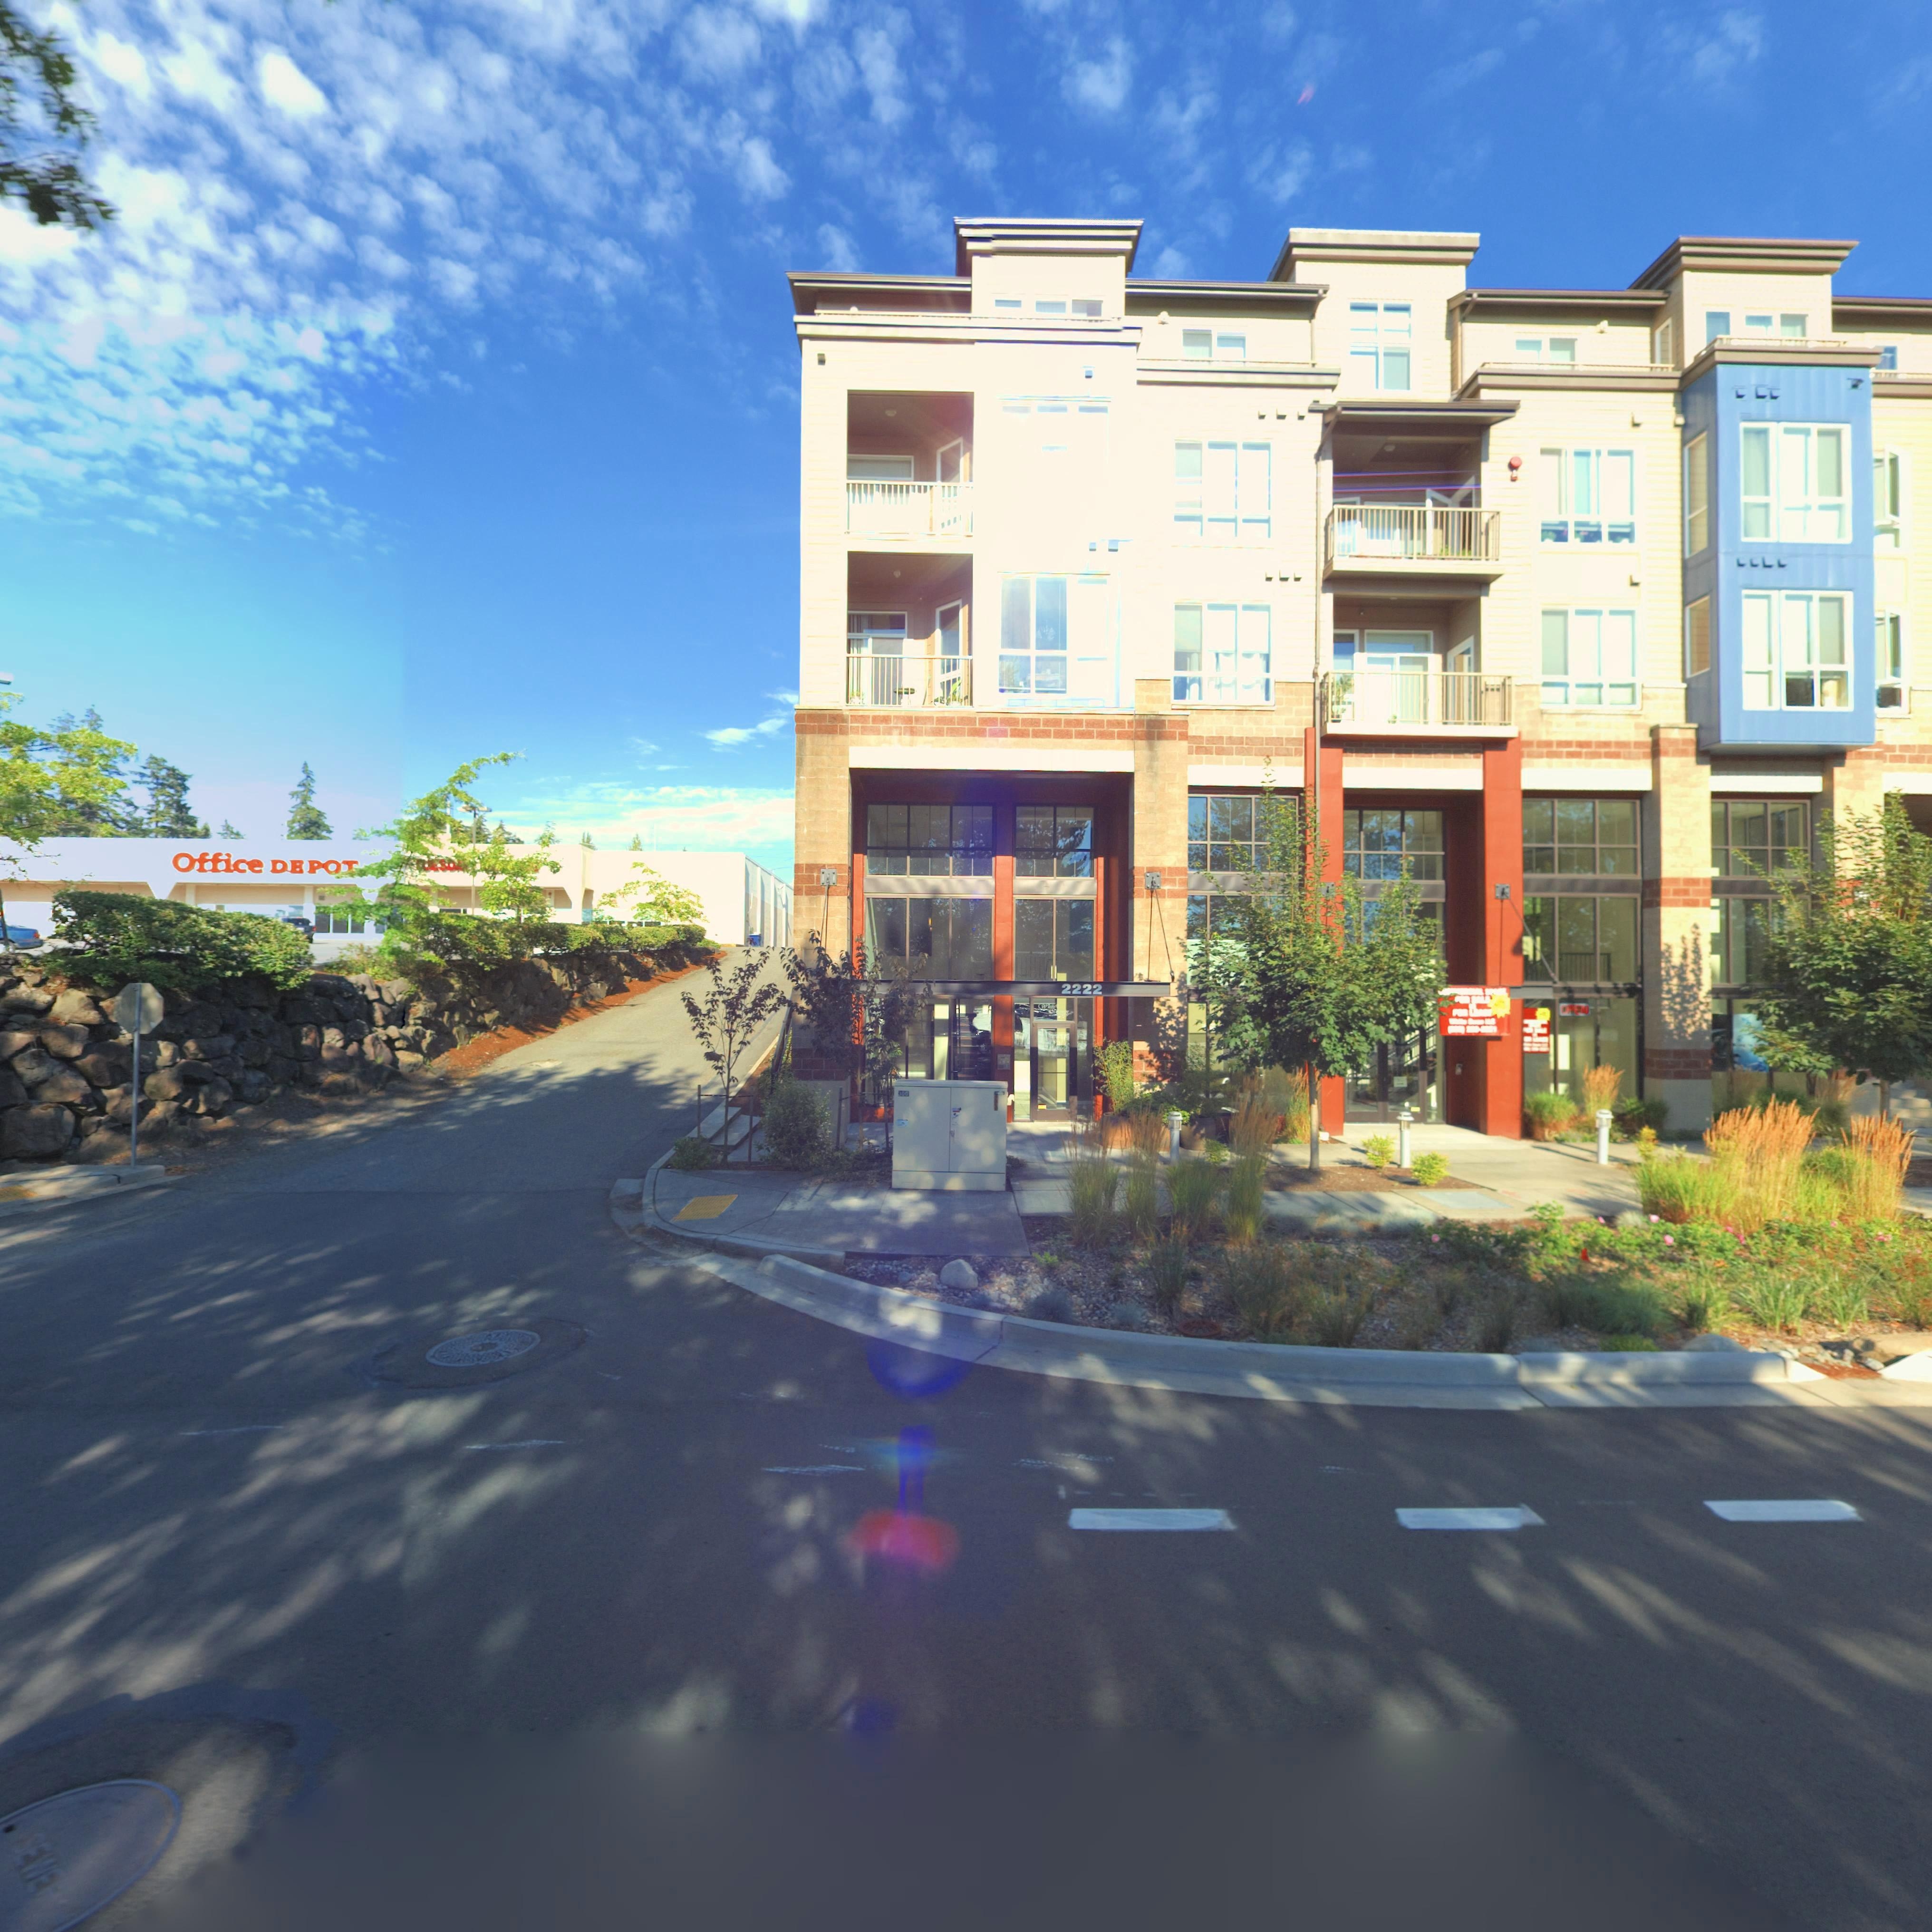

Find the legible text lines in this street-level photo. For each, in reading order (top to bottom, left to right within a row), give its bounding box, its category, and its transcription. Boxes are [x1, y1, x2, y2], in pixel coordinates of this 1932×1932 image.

[170, 849, 364, 876] BusinessName: OFFICE DEPOT
[1062, 984, 1101, 994] StreetNumber: 2222